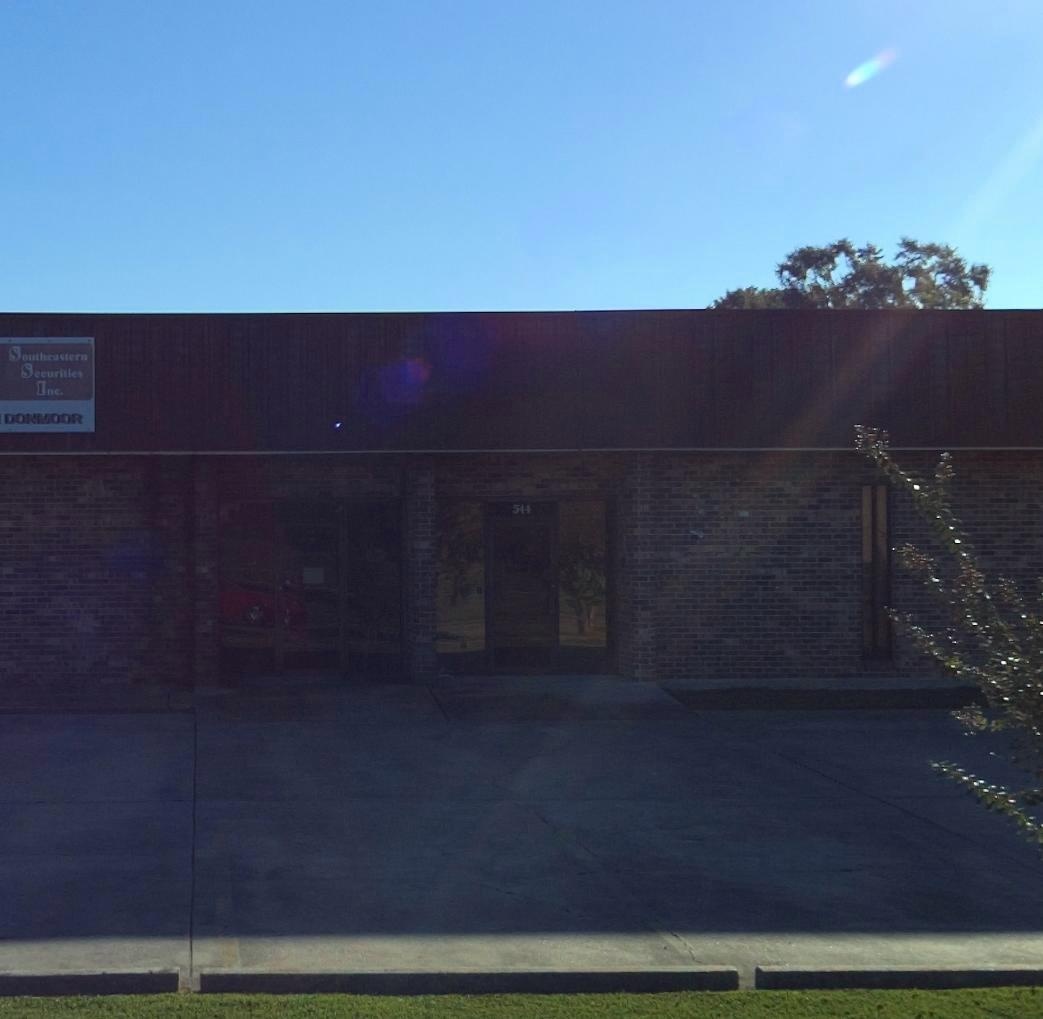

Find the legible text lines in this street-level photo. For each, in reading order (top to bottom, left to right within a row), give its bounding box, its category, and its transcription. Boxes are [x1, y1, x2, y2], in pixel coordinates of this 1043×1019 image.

[6, 343, 90, 363] BusinessName: Southeastern
[17, 359, 85, 380] BusinessName: Securities
[34, 377, 67, 398] BusinessName: Inc.
[2, 411, 85, 426] None: DONMOOR
[511, 502, 533, 516] StreetNumber: 544